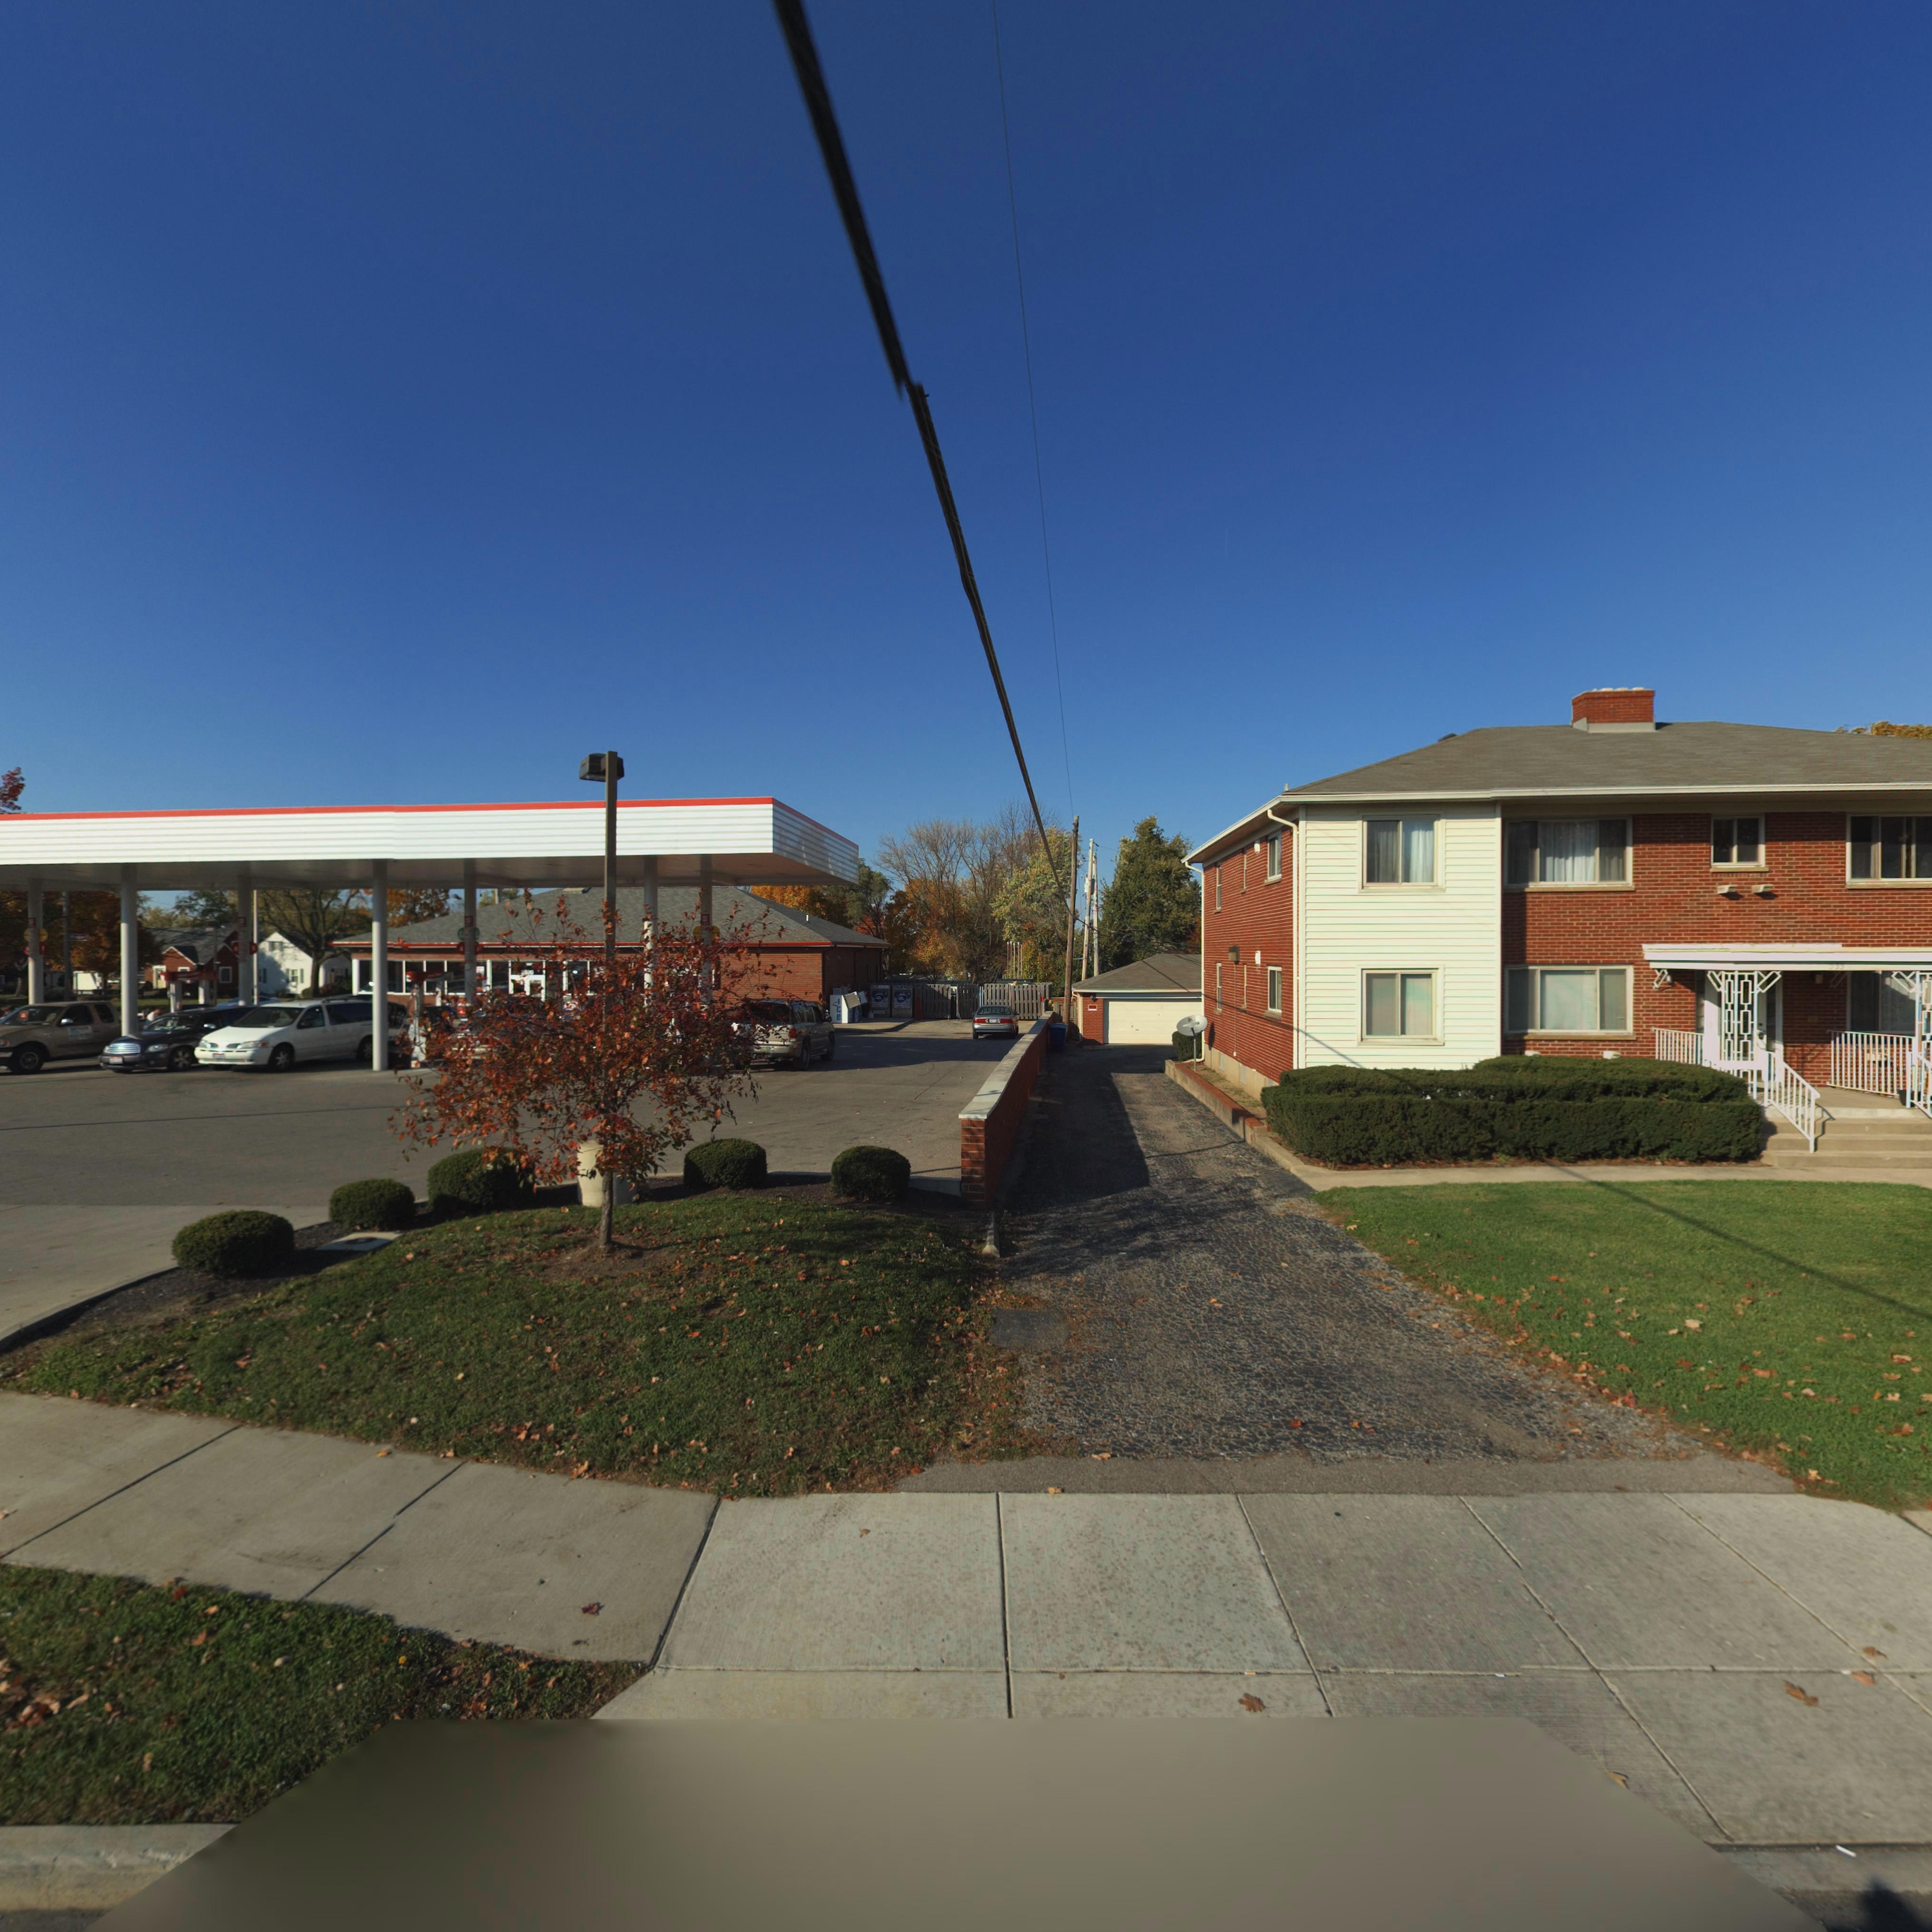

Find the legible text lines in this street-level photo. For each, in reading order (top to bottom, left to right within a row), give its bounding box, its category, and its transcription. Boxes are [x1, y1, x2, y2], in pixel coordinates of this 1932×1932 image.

[1827, 961, 1846, 970] StreetNumber: 533